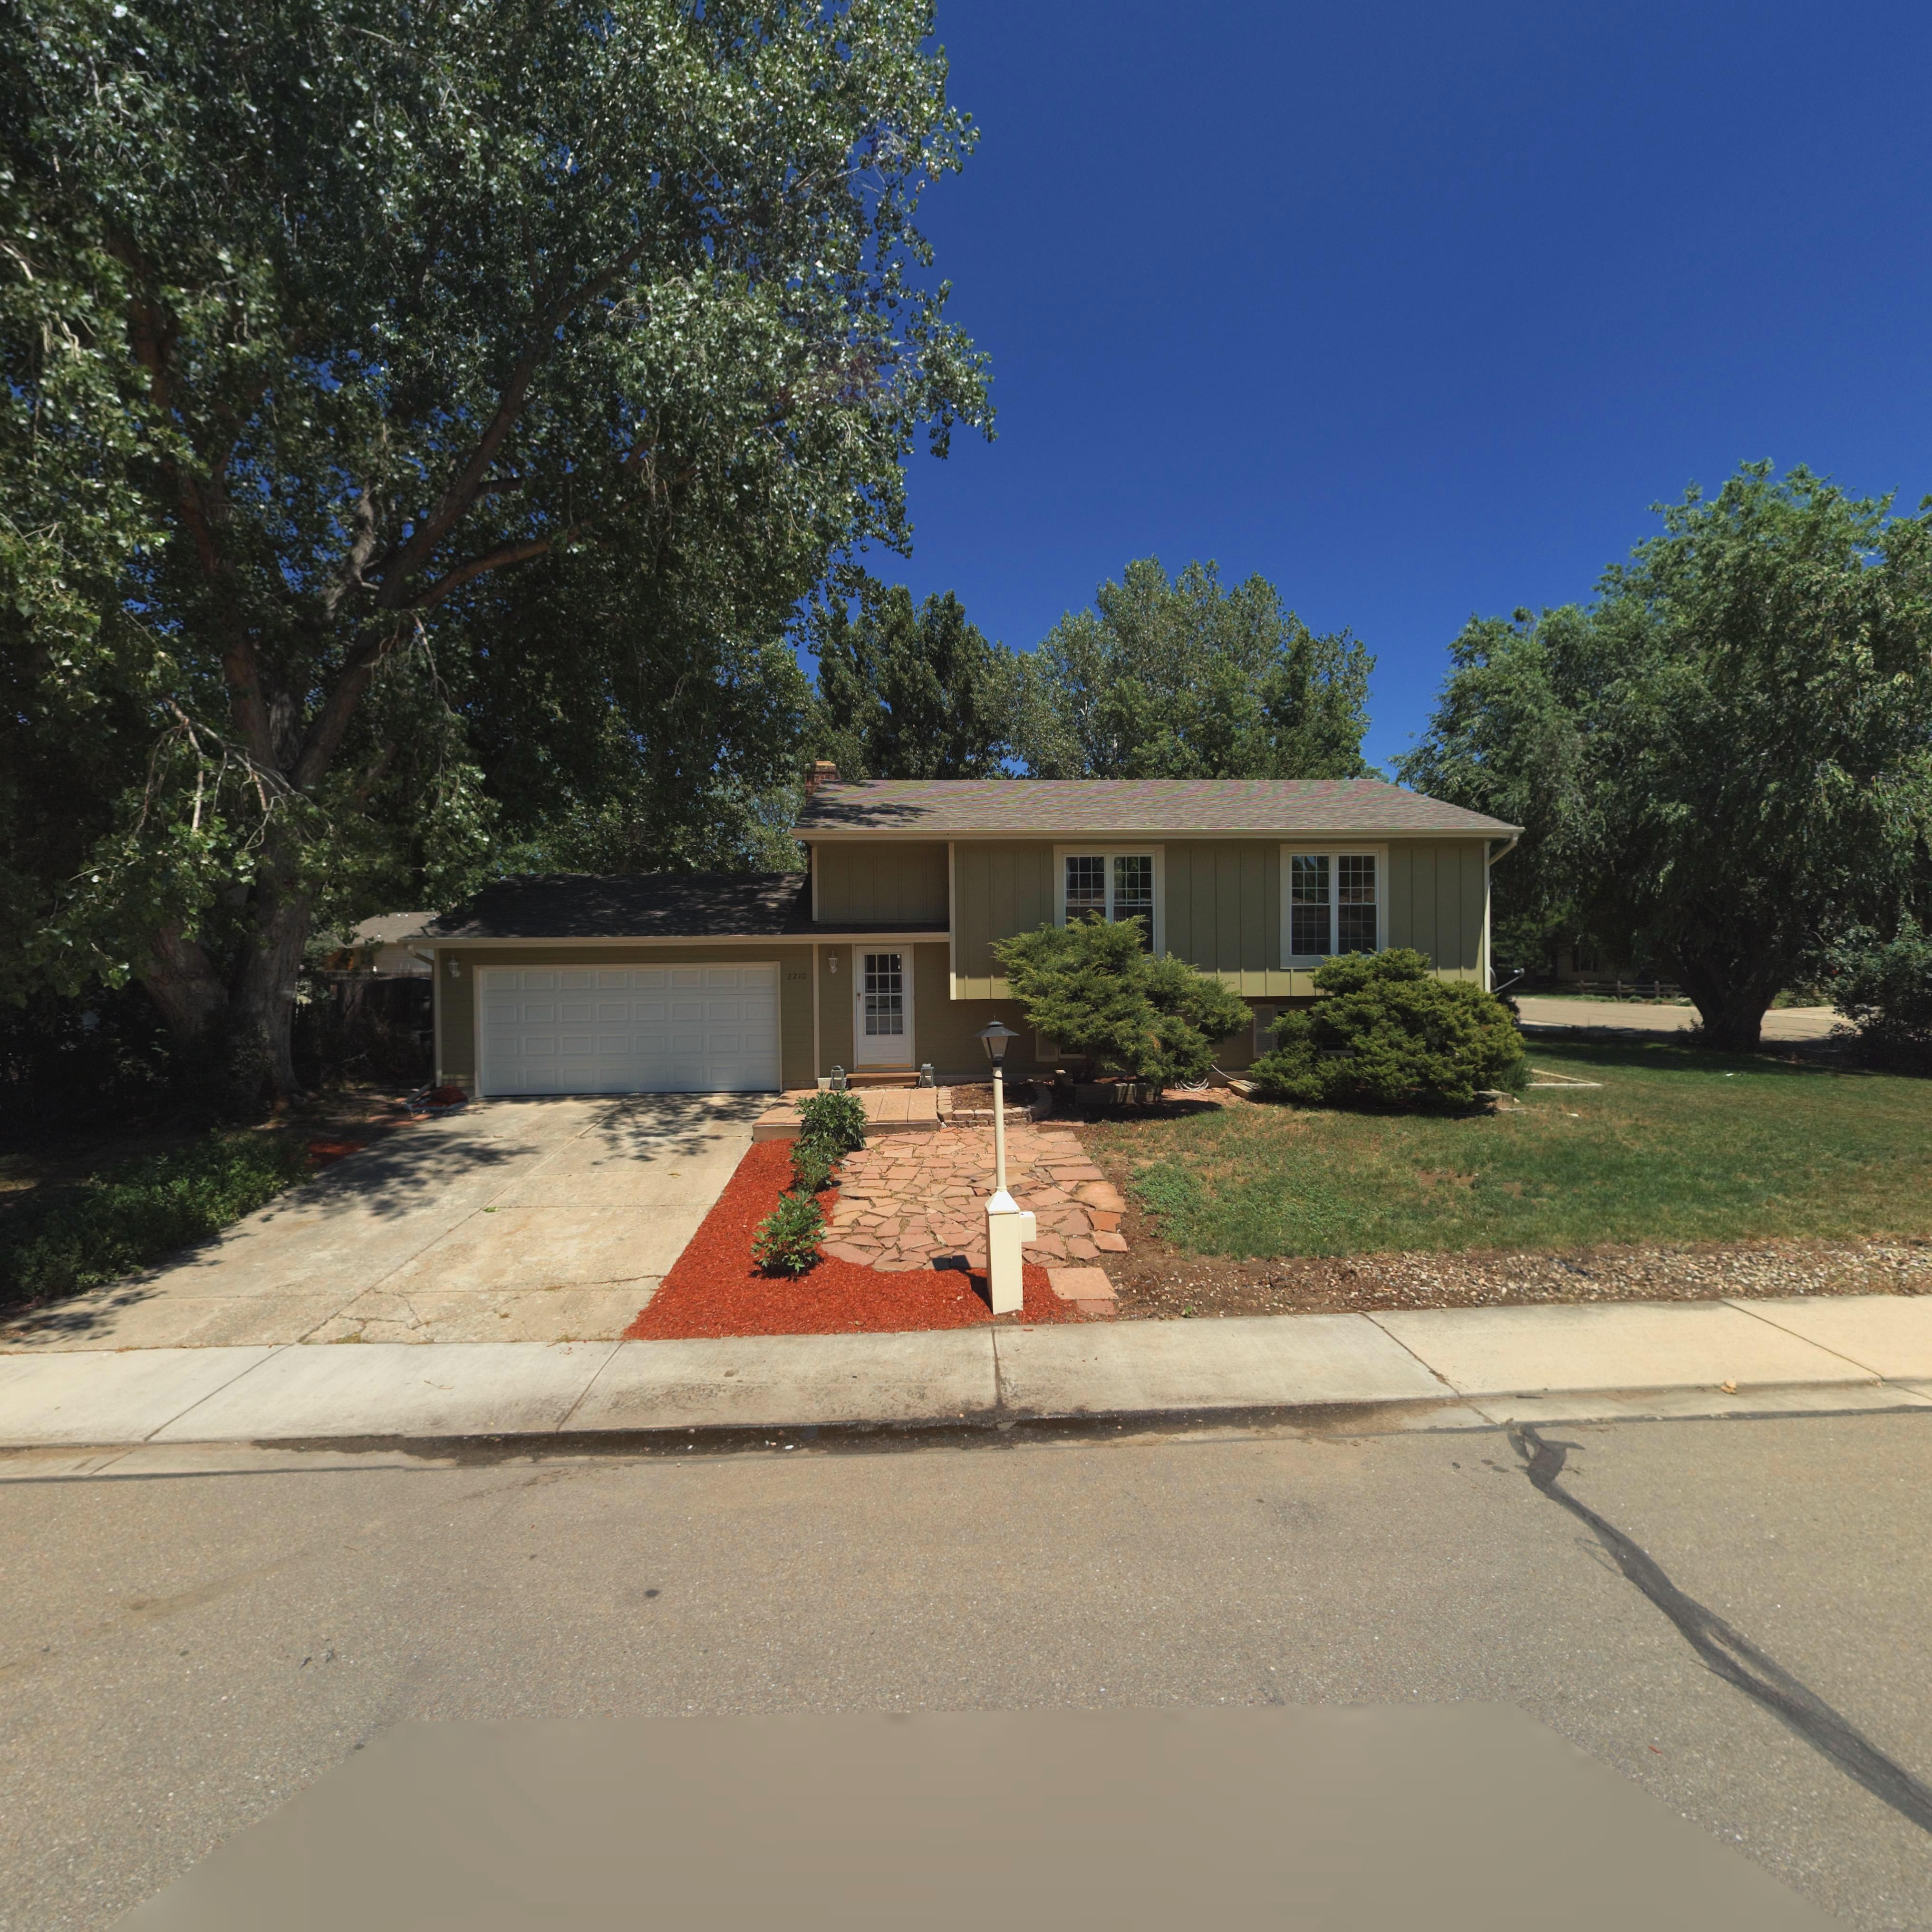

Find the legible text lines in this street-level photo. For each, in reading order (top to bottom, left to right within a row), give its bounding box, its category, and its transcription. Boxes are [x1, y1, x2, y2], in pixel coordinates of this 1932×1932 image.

[787, 972, 807, 980] StreetNumber: 2210